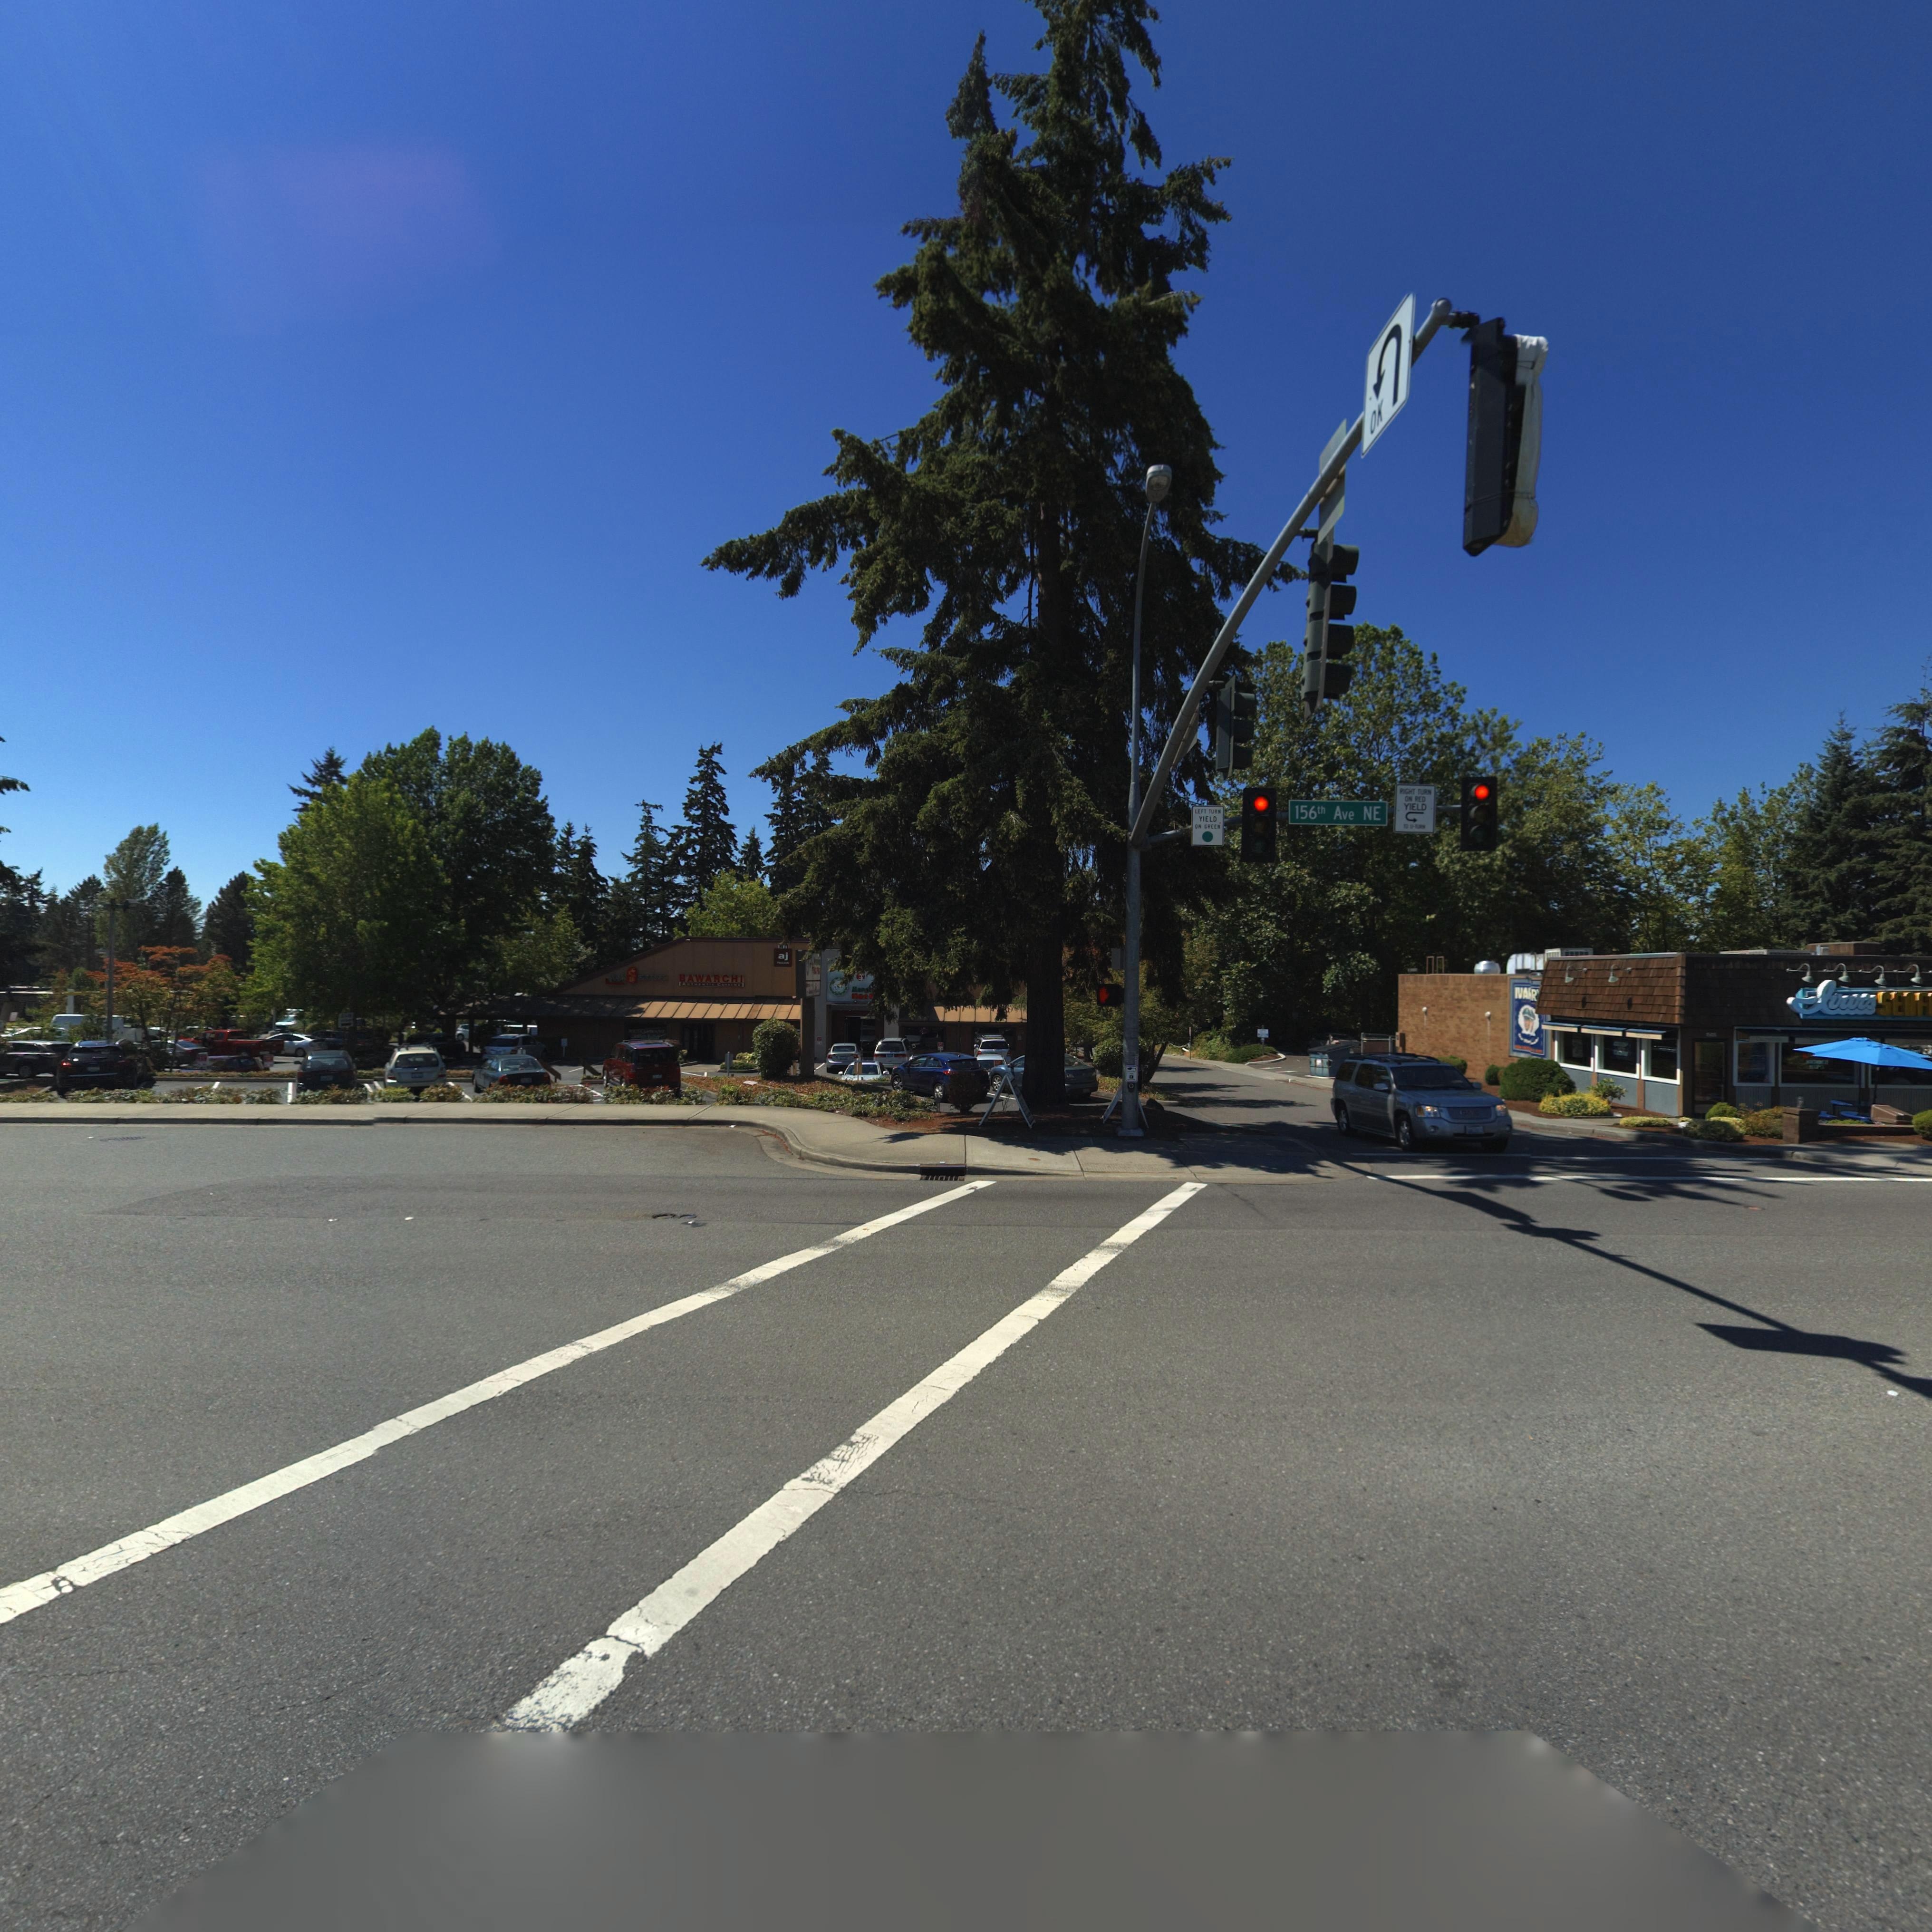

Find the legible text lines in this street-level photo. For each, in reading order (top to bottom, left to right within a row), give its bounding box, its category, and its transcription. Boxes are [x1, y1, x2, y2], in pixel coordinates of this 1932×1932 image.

[1295, 805, 1381, 820] StreetName: 156th Ave NE
[679, 973, 743, 984] BusinessName: BAWARCHI
[1785, 979, 1927, 1017] BusinessName: Ivar*s SEAF